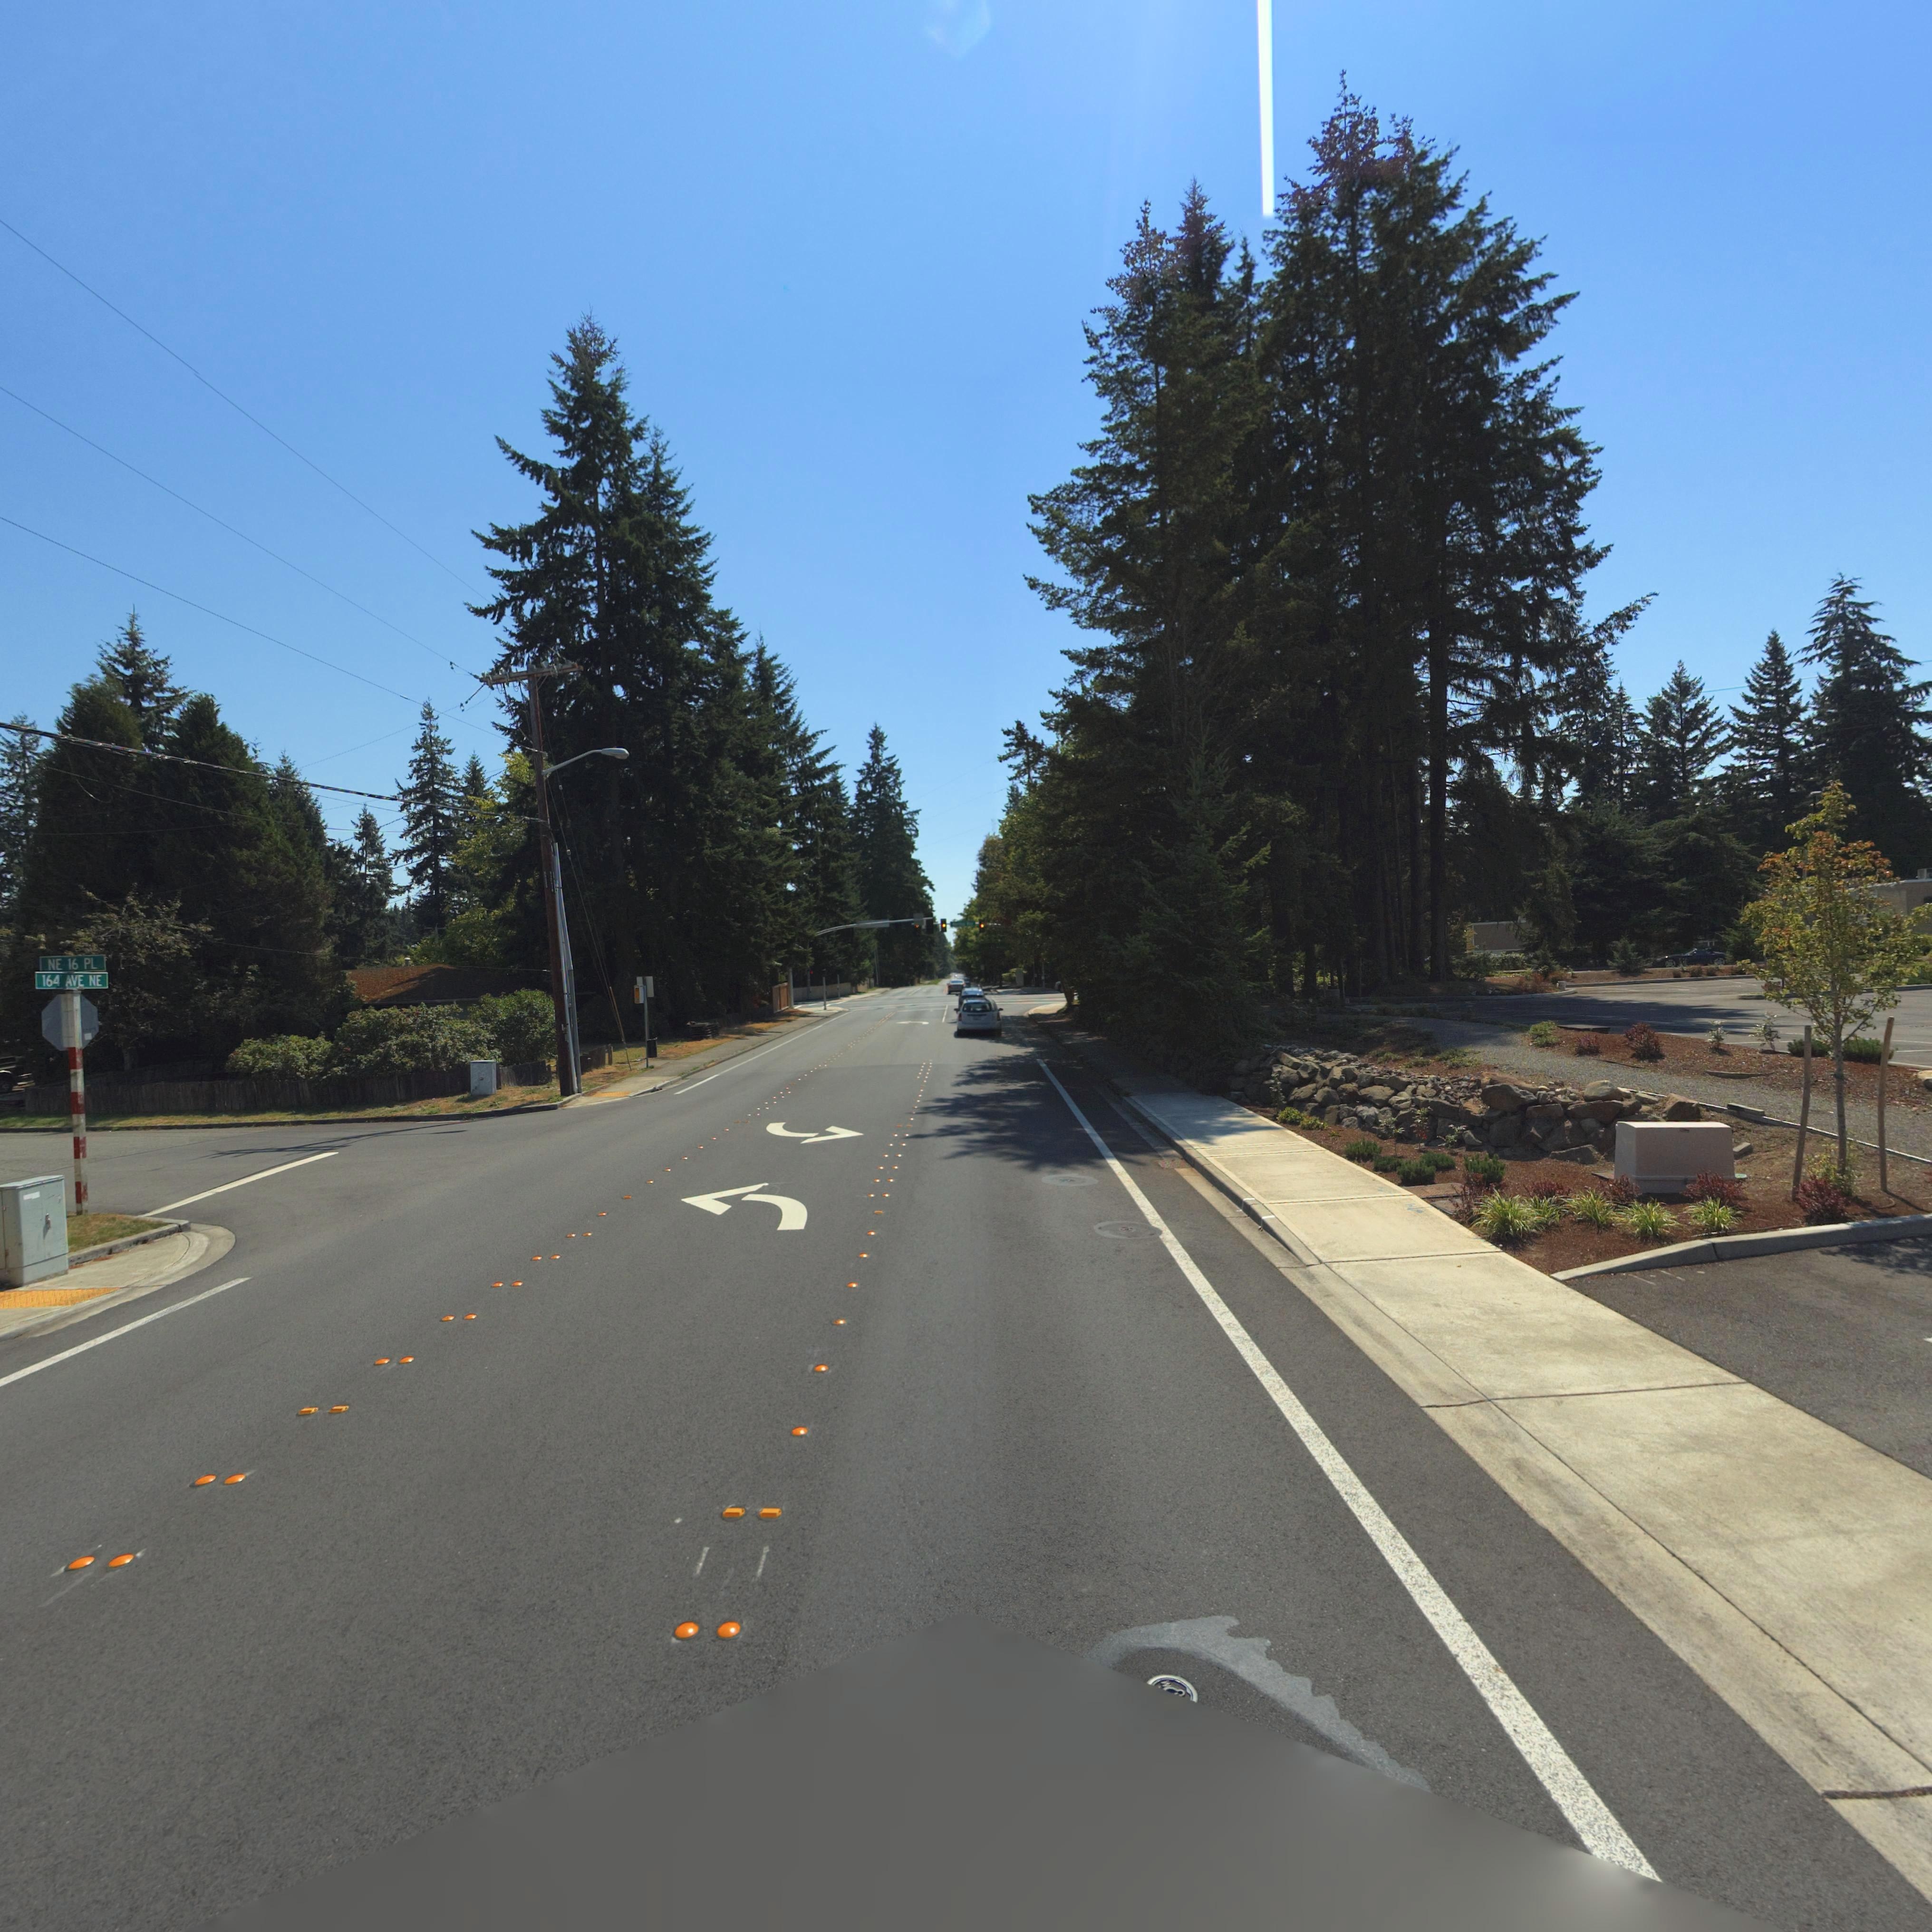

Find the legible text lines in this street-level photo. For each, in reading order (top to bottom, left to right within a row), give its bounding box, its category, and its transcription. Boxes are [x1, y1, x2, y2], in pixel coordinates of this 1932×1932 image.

[48, 956, 97, 970] StreetName: NE 16 PL
[41, 973, 103, 986] StreetName: 164 AVE NE